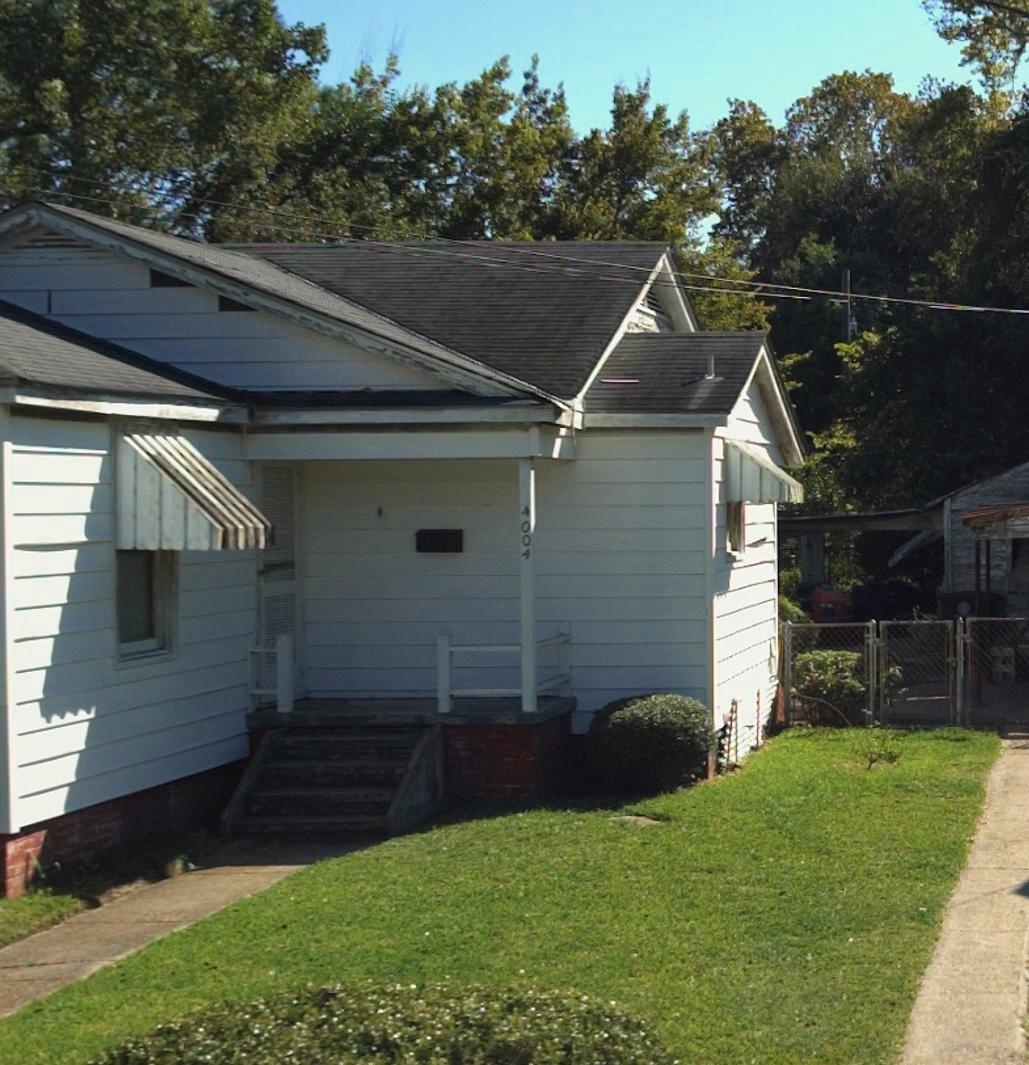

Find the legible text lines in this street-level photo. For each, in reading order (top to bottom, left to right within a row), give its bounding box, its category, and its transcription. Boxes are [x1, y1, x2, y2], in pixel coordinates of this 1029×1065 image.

[519, 503, 532, 561] StreetNumber: 4004